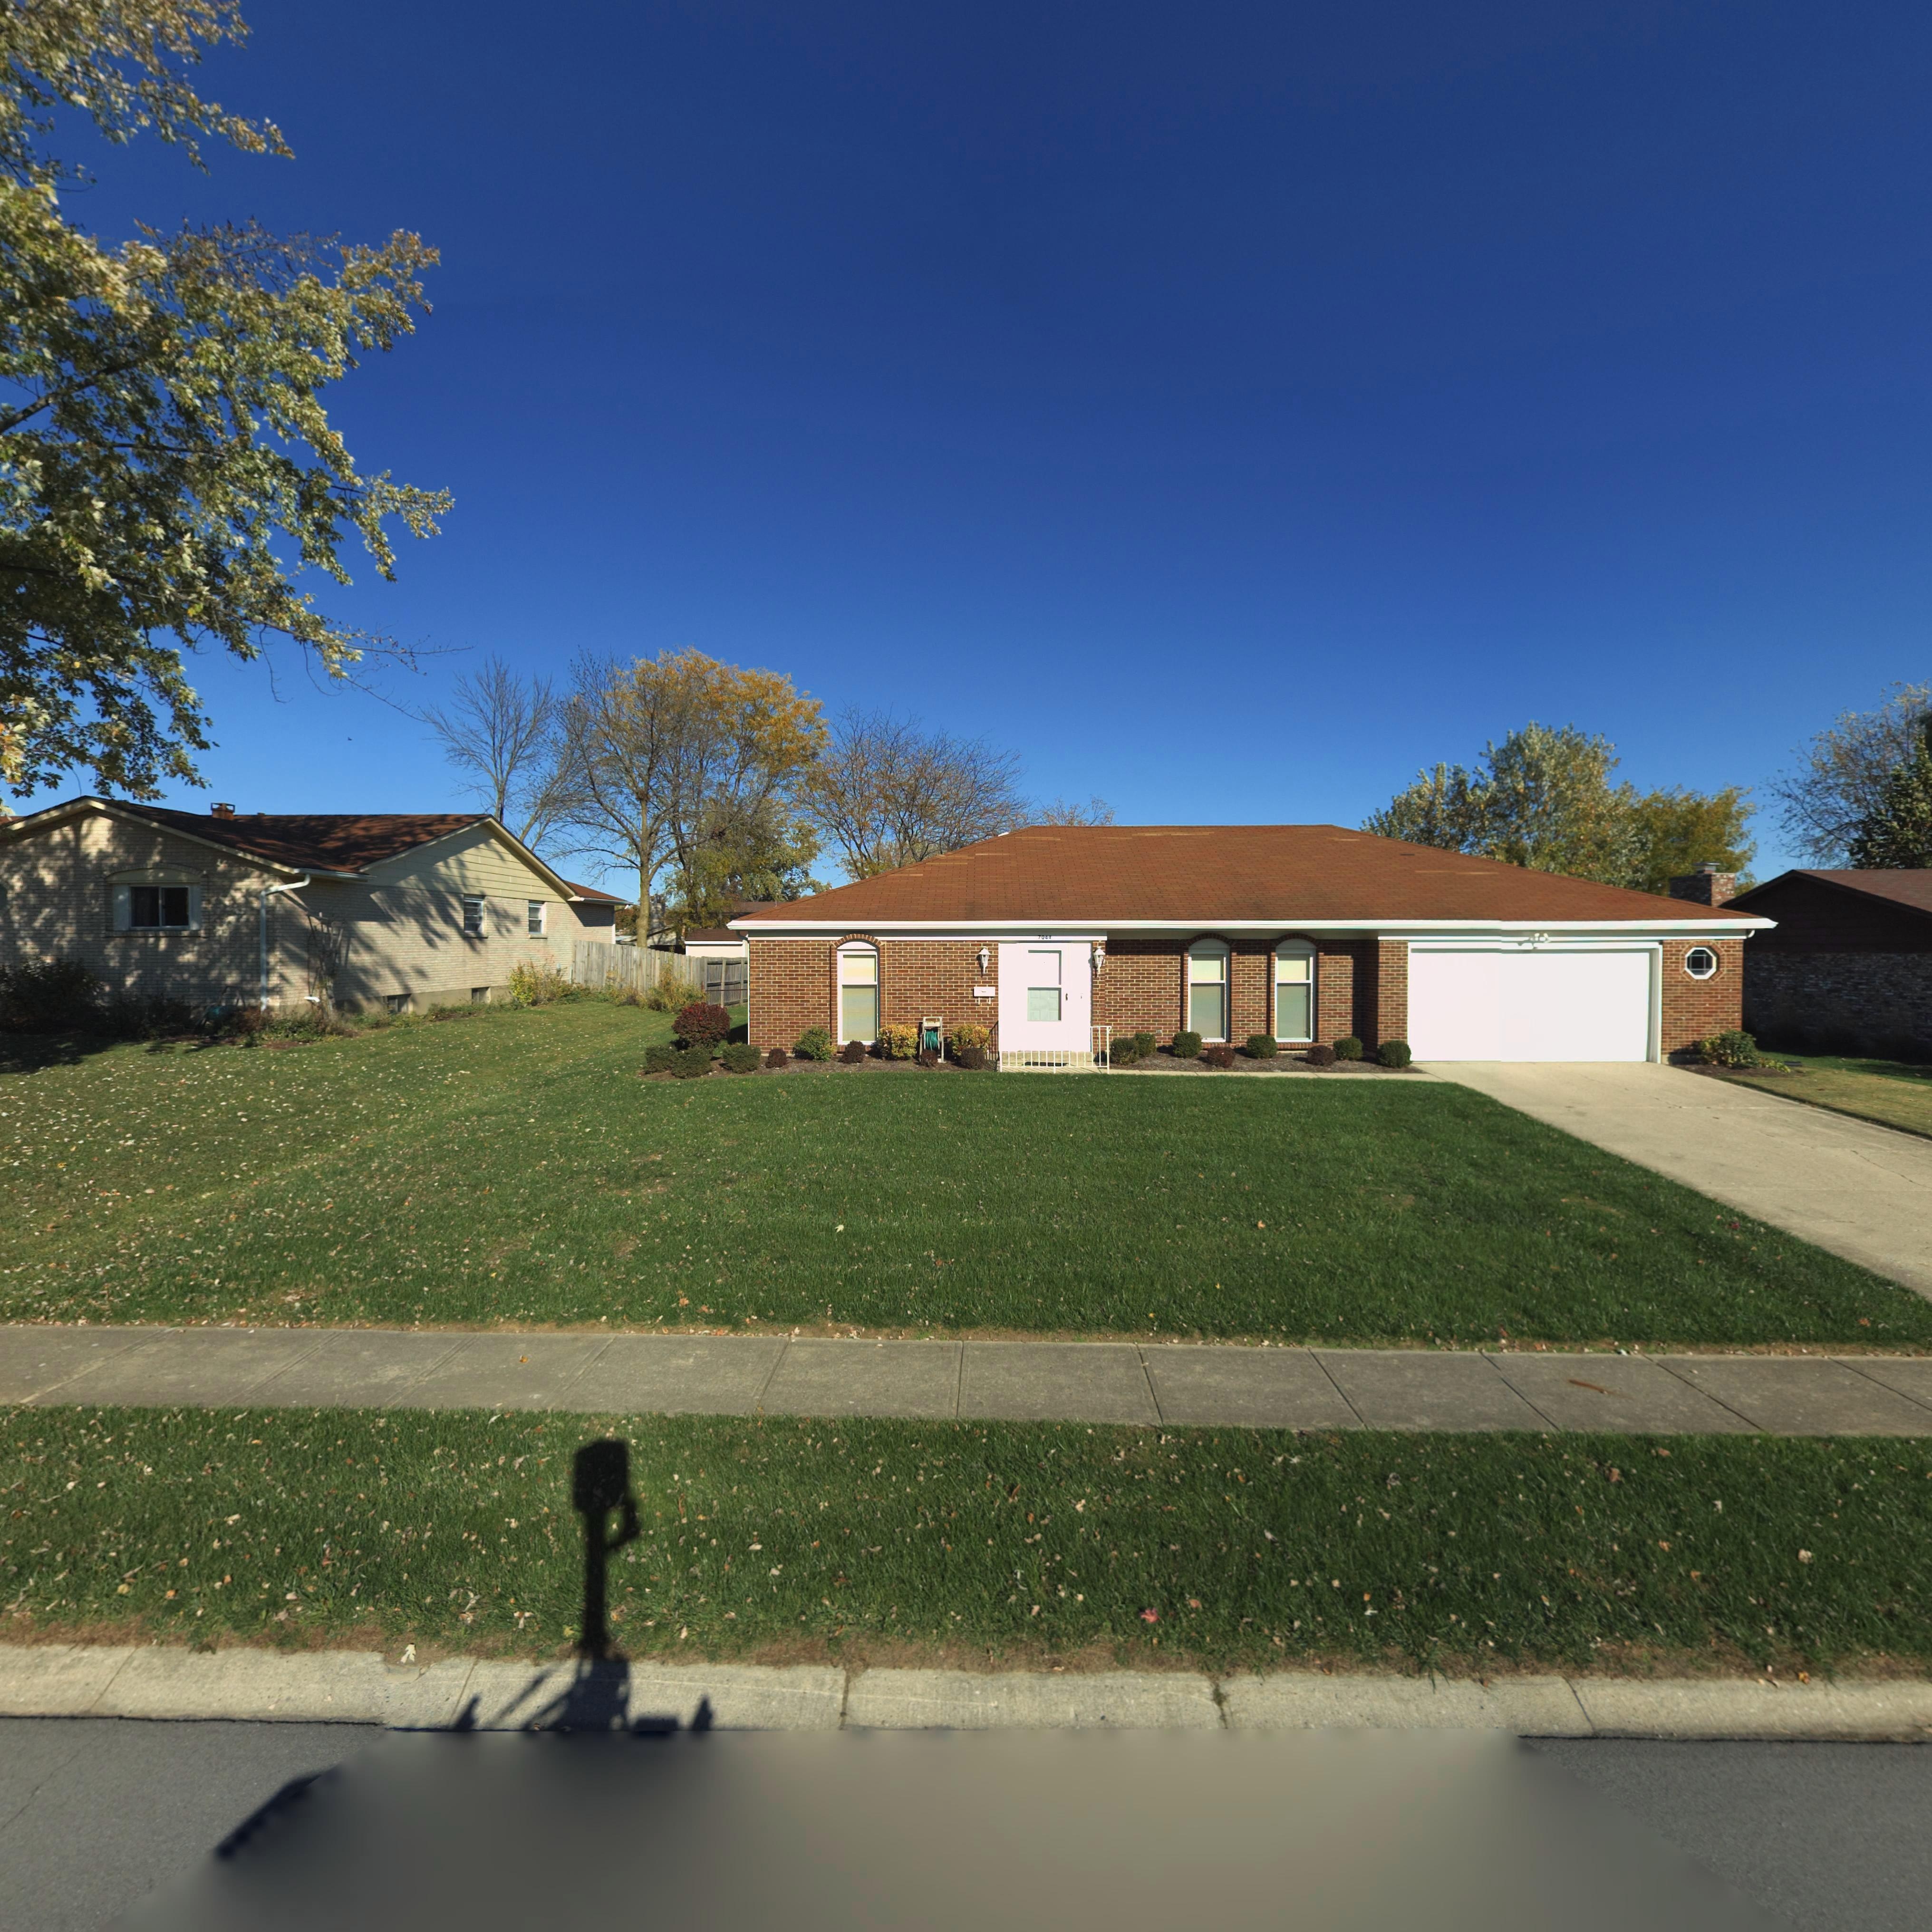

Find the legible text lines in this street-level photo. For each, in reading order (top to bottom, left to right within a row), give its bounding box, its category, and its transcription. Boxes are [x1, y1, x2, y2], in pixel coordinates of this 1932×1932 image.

[1037, 935, 1052, 940] StreetNumber: 7044